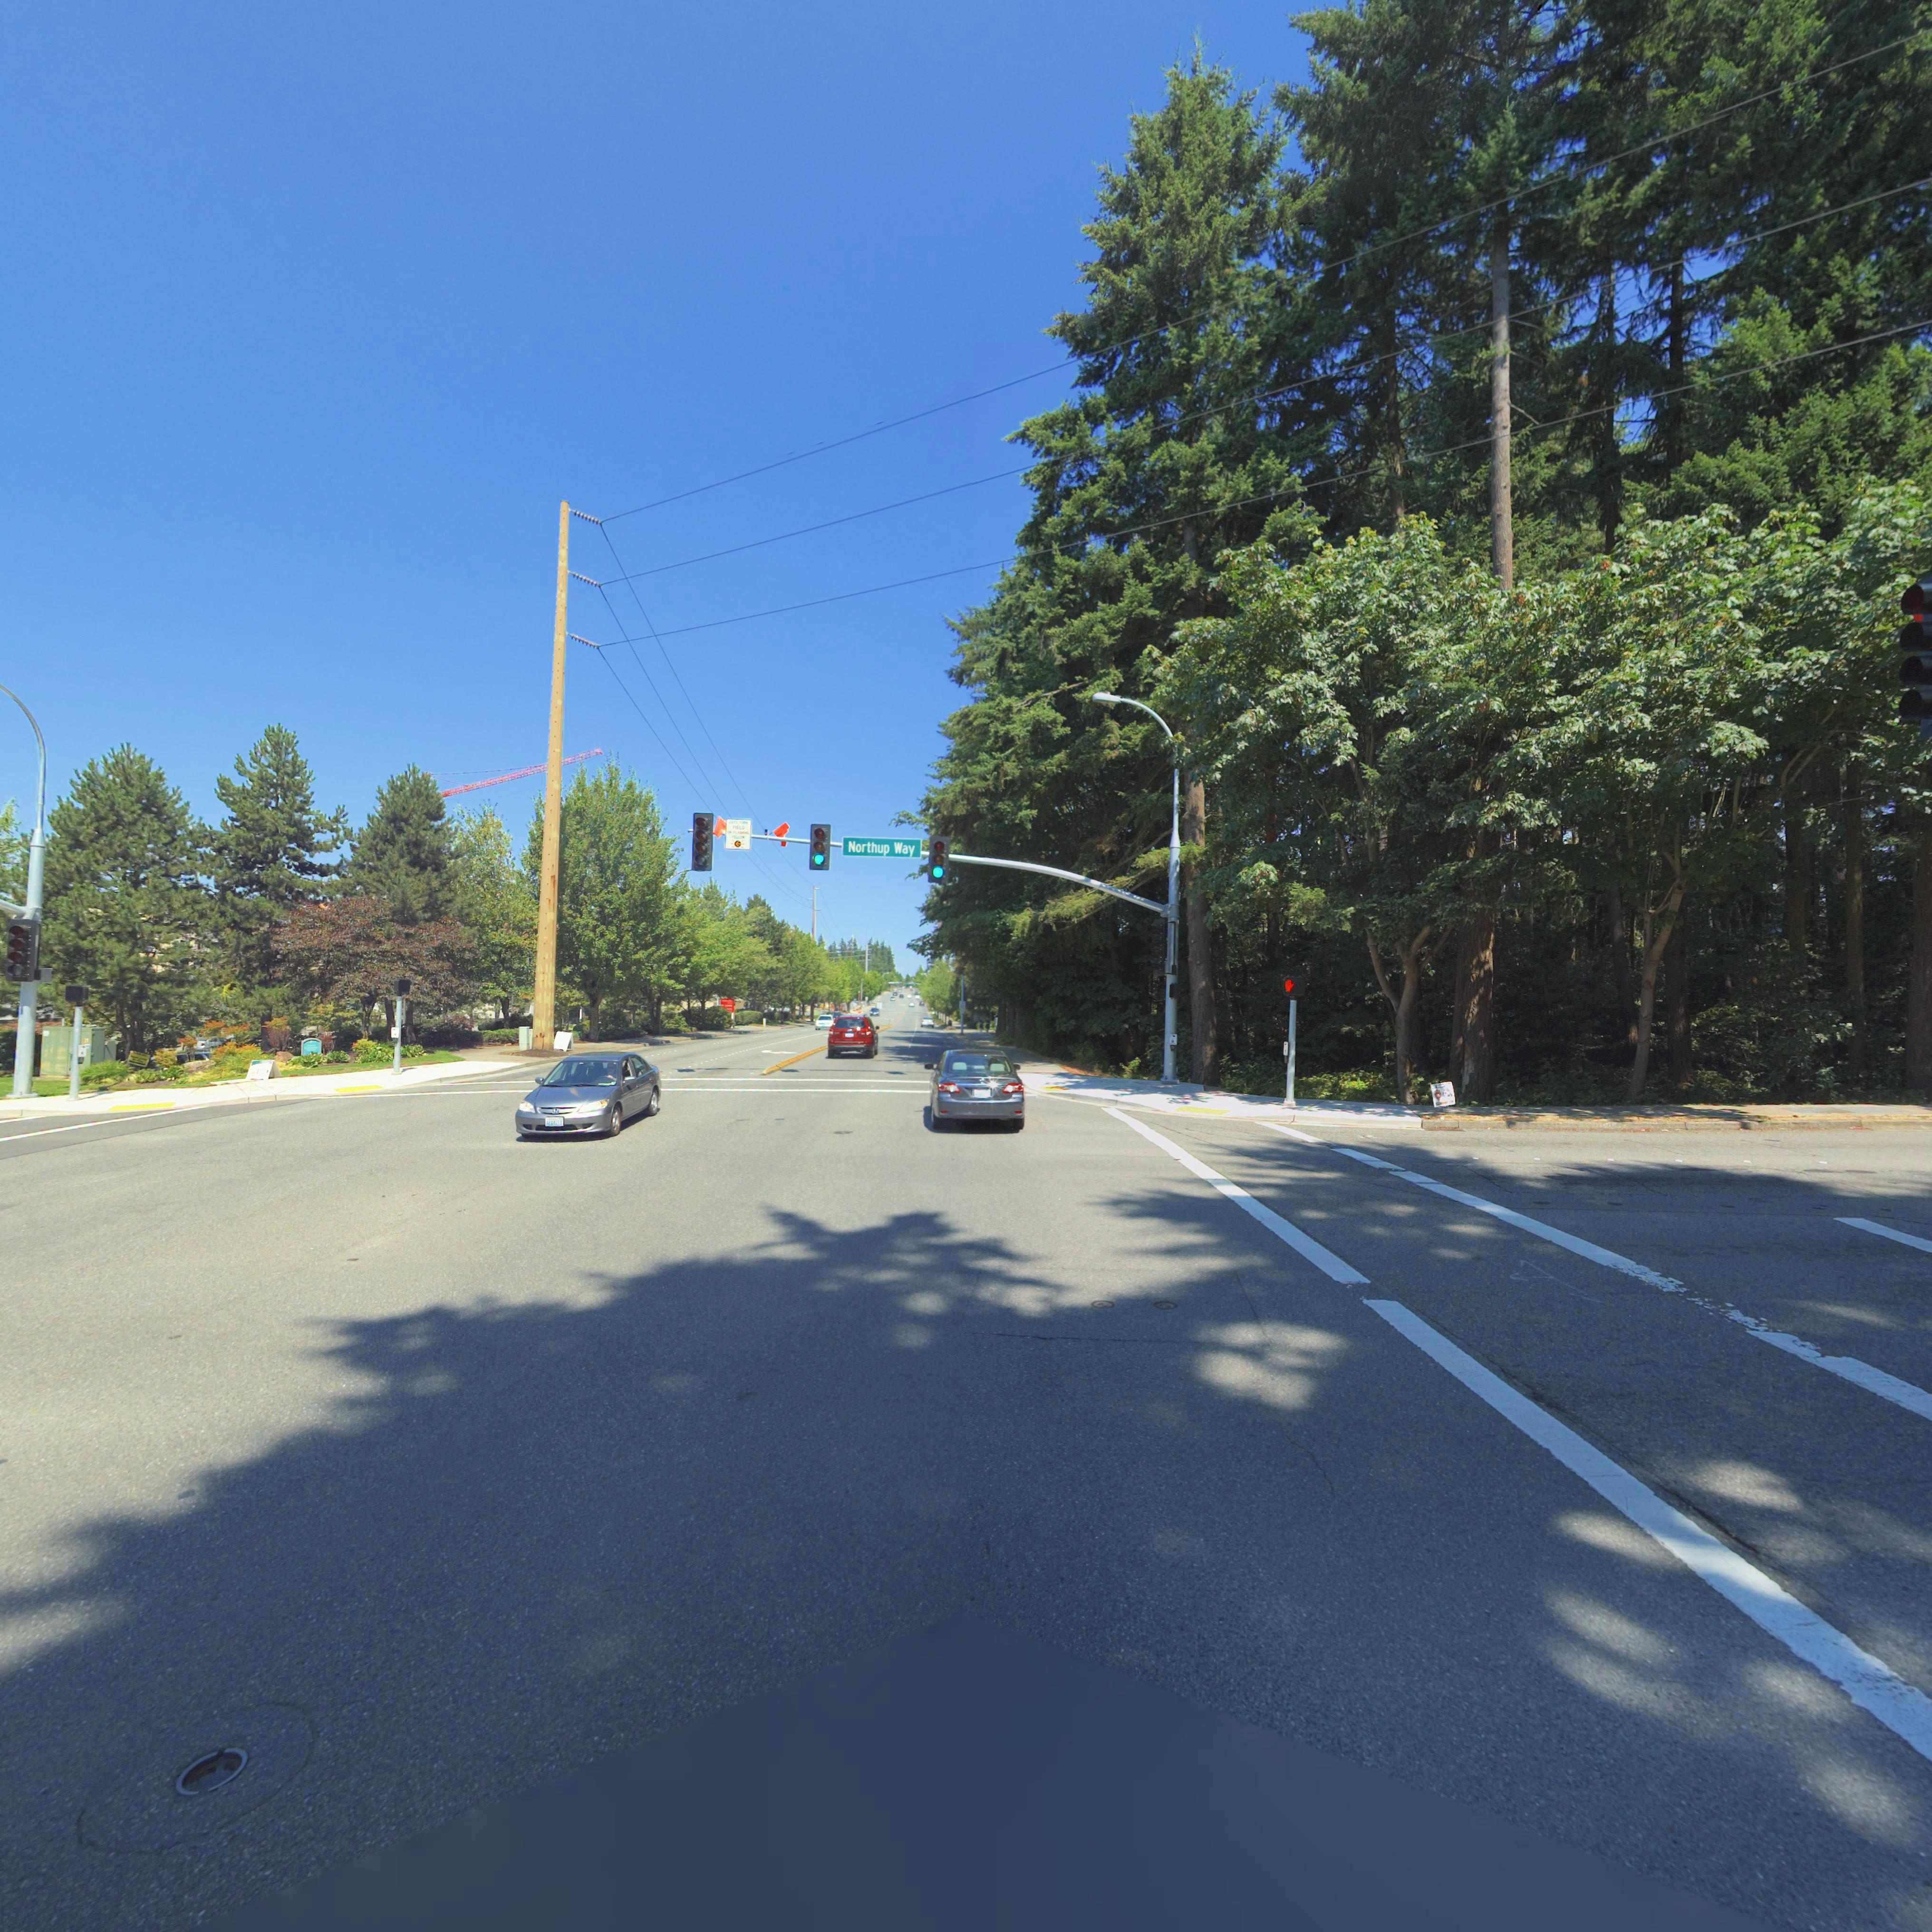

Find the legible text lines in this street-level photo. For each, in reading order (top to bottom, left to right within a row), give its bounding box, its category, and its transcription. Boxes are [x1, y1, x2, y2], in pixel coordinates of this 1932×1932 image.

[849, 841, 915, 857] StreetName: Northup  Nay